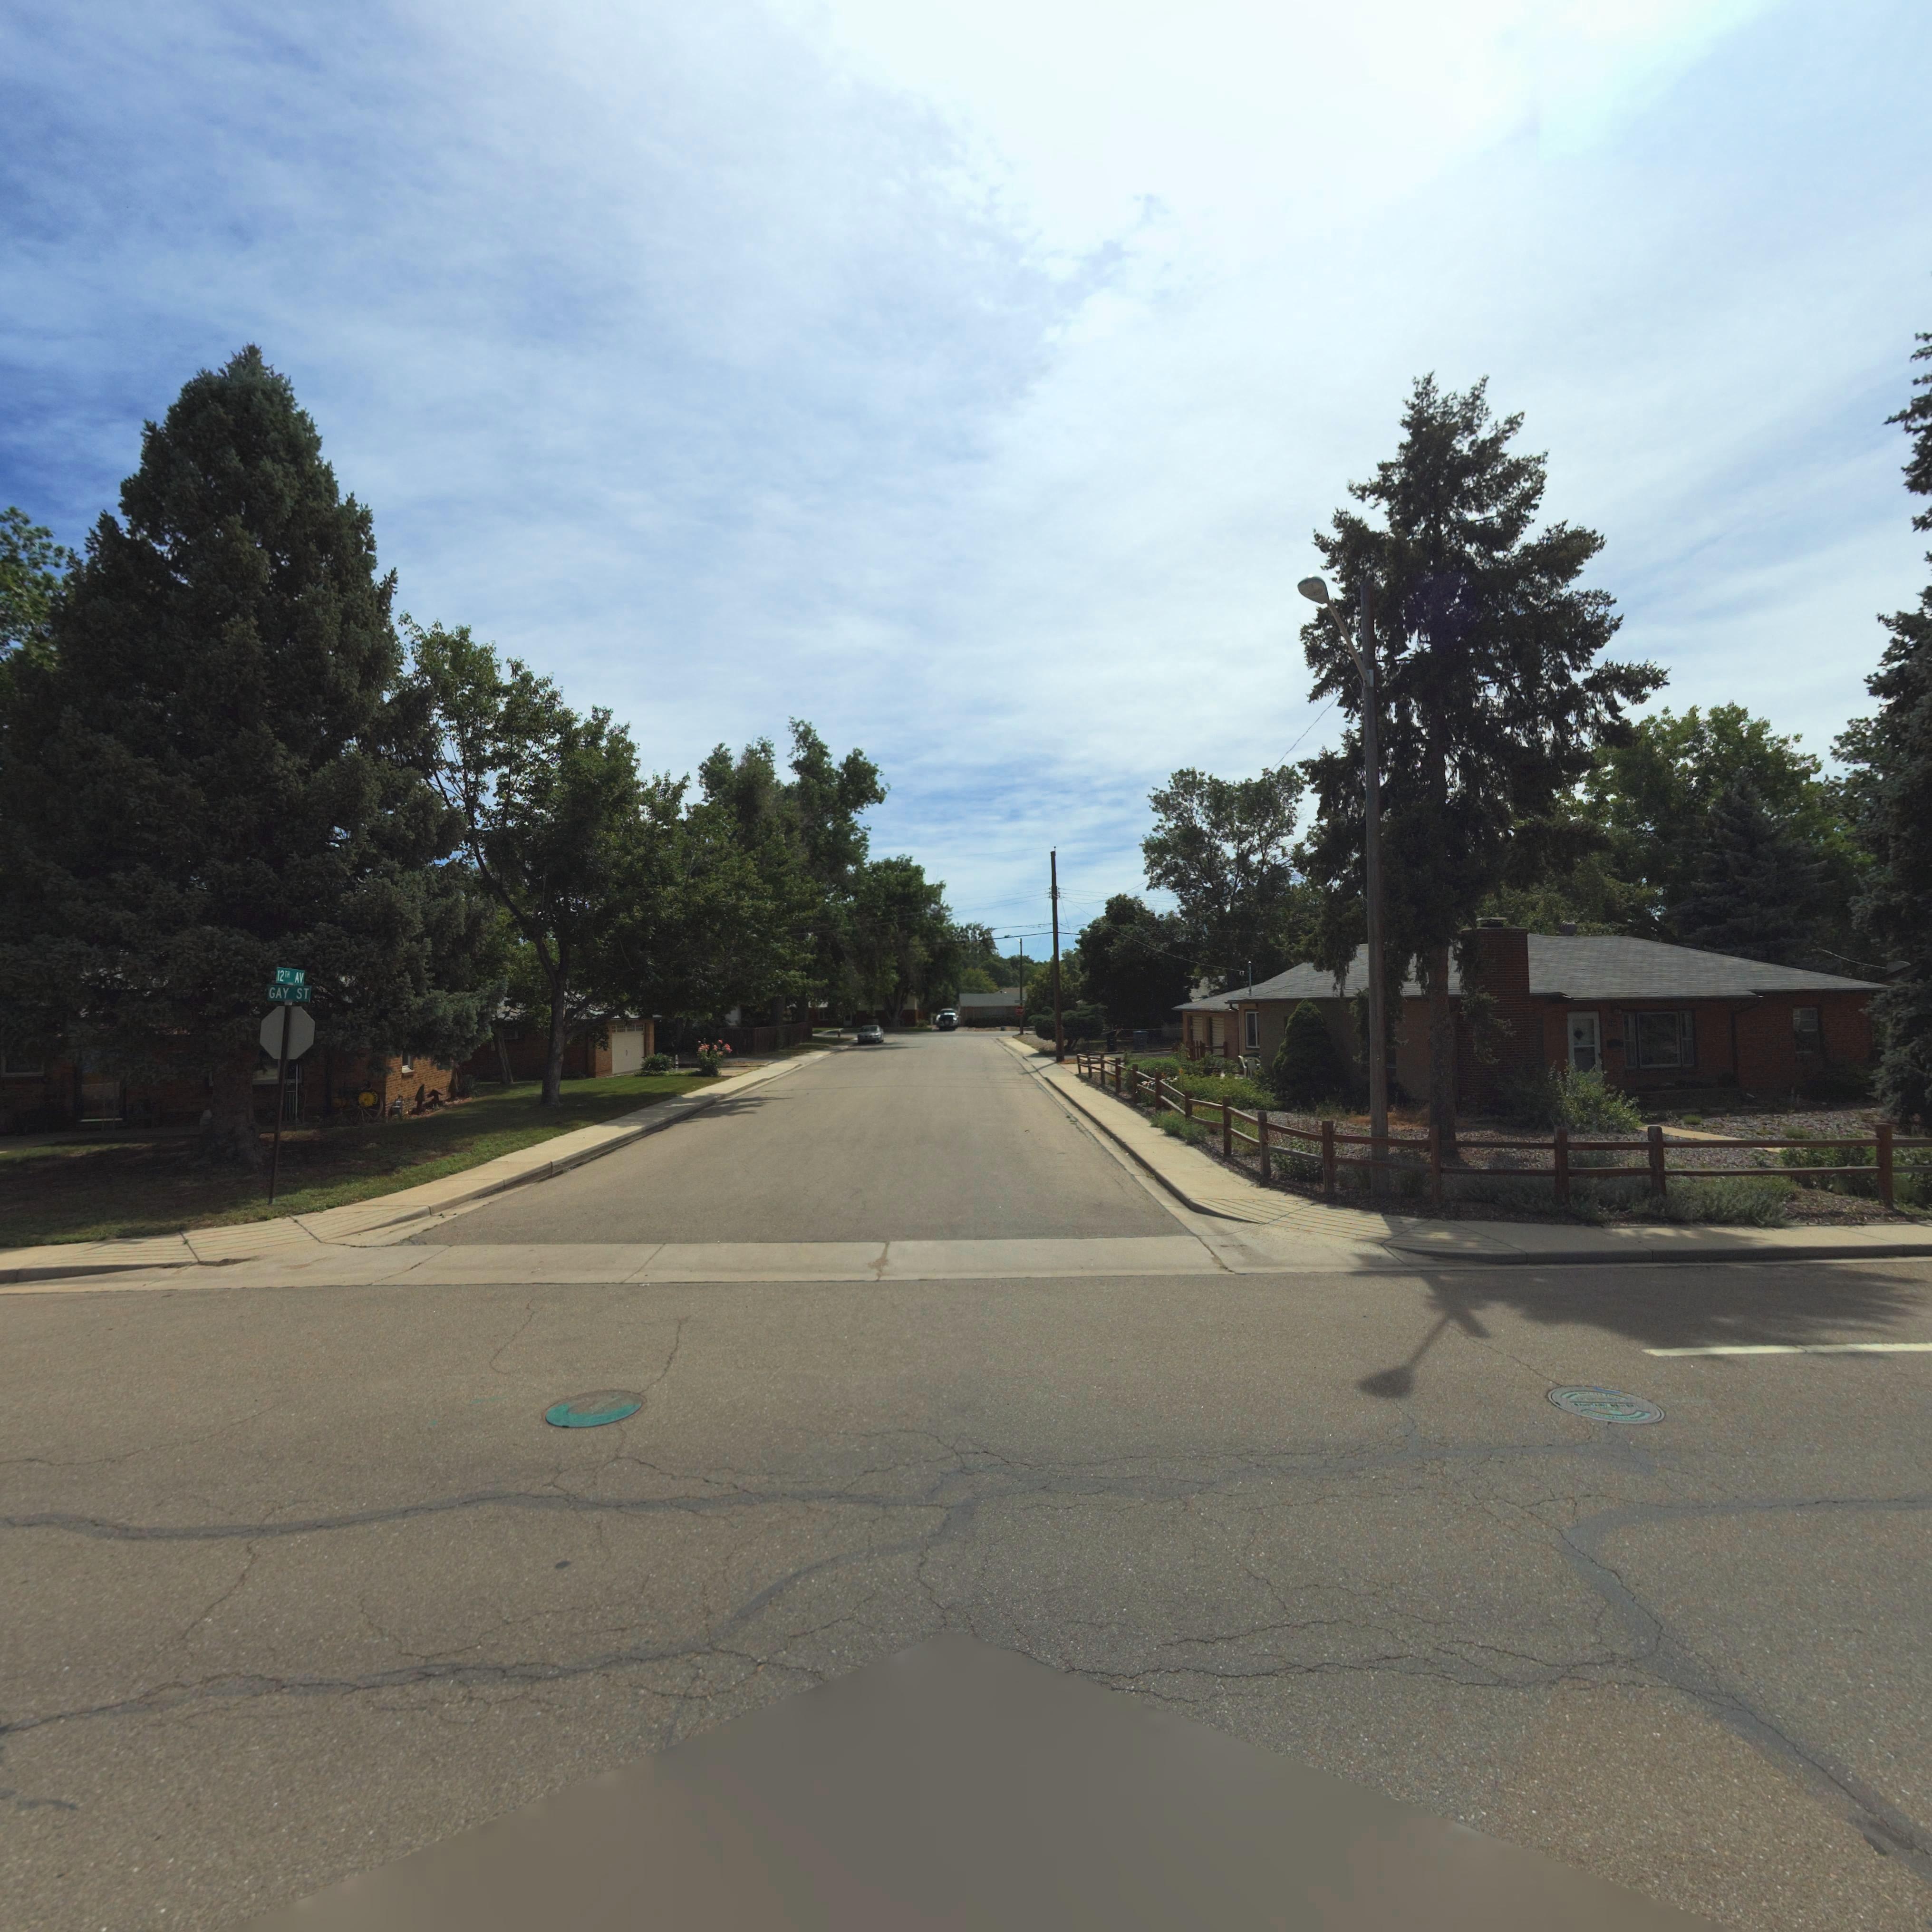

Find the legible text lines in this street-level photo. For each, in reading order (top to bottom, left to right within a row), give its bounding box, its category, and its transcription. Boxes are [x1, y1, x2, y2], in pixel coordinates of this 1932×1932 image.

[277, 969, 304, 984] StreetName: 12TH AV
[268, 986, 309, 1000] StreetName: GAY ST